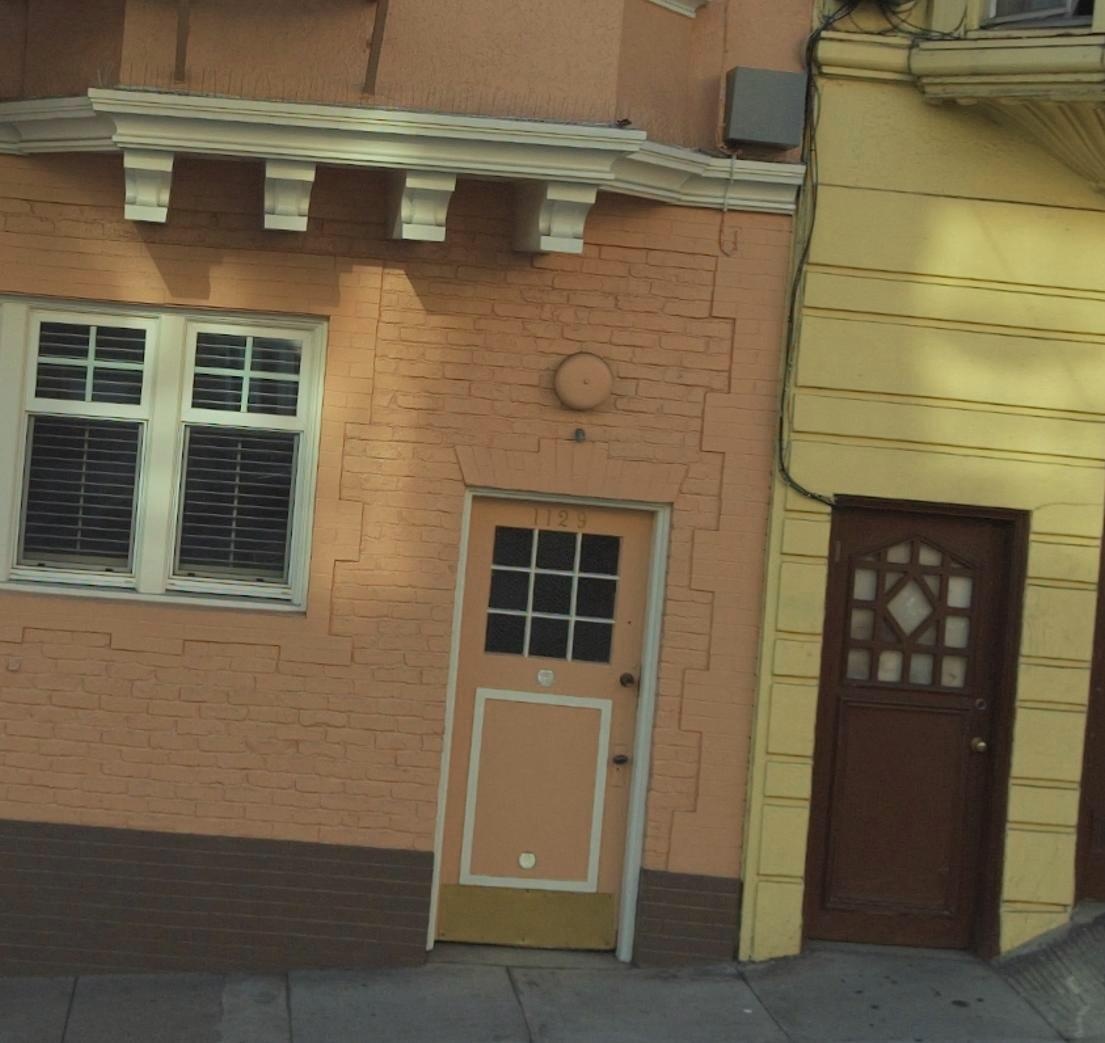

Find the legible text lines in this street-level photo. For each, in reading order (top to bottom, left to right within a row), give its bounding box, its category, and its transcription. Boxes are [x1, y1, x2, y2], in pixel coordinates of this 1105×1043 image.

[530, 505, 588, 531] StreetNumber: 1129